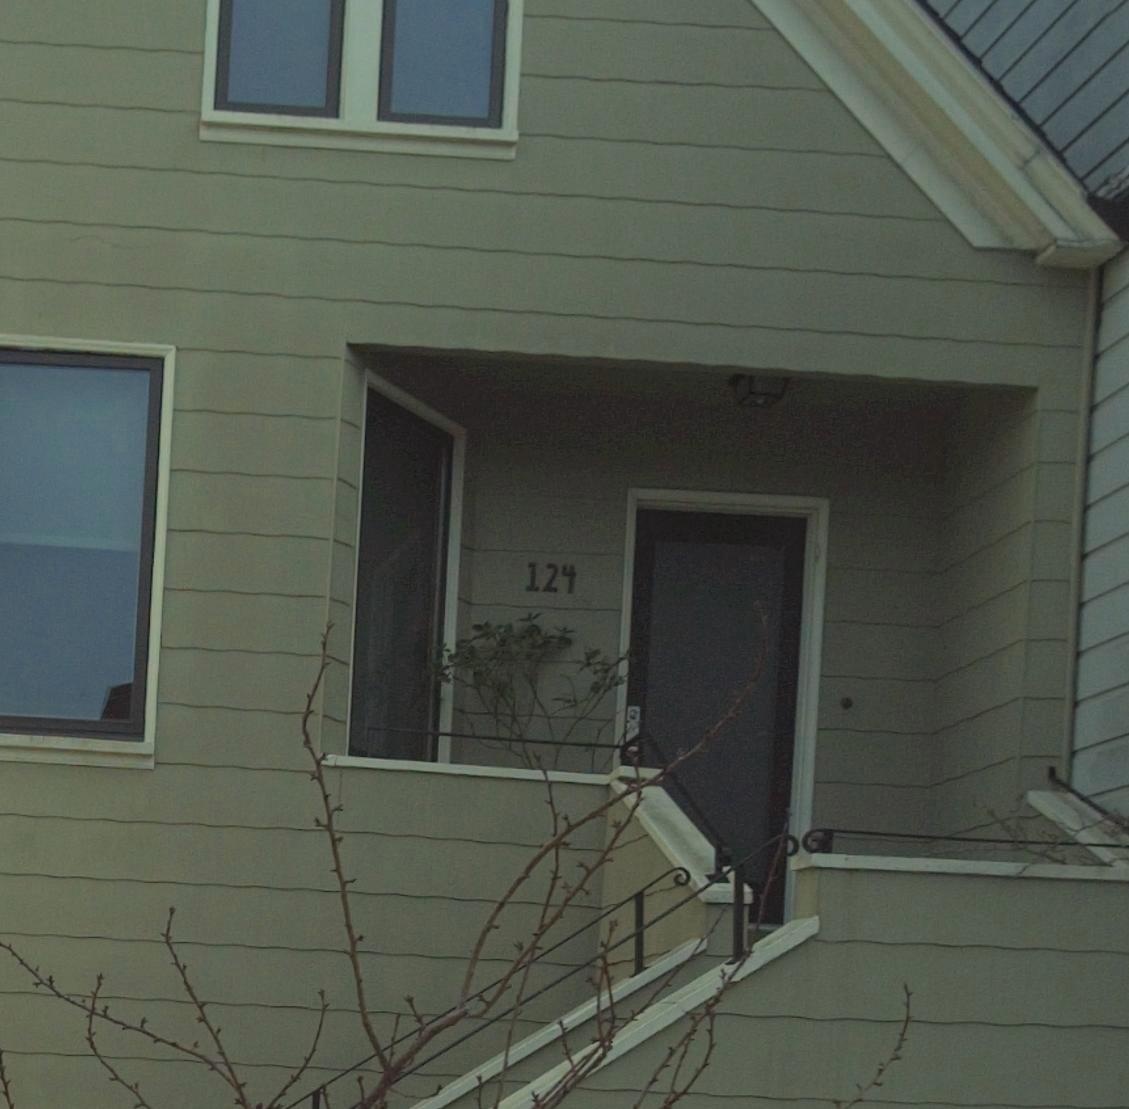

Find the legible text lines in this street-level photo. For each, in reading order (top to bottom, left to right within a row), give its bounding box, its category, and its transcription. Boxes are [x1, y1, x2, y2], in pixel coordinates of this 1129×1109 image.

[520, 556, 581, 597] StreetNumber: 124